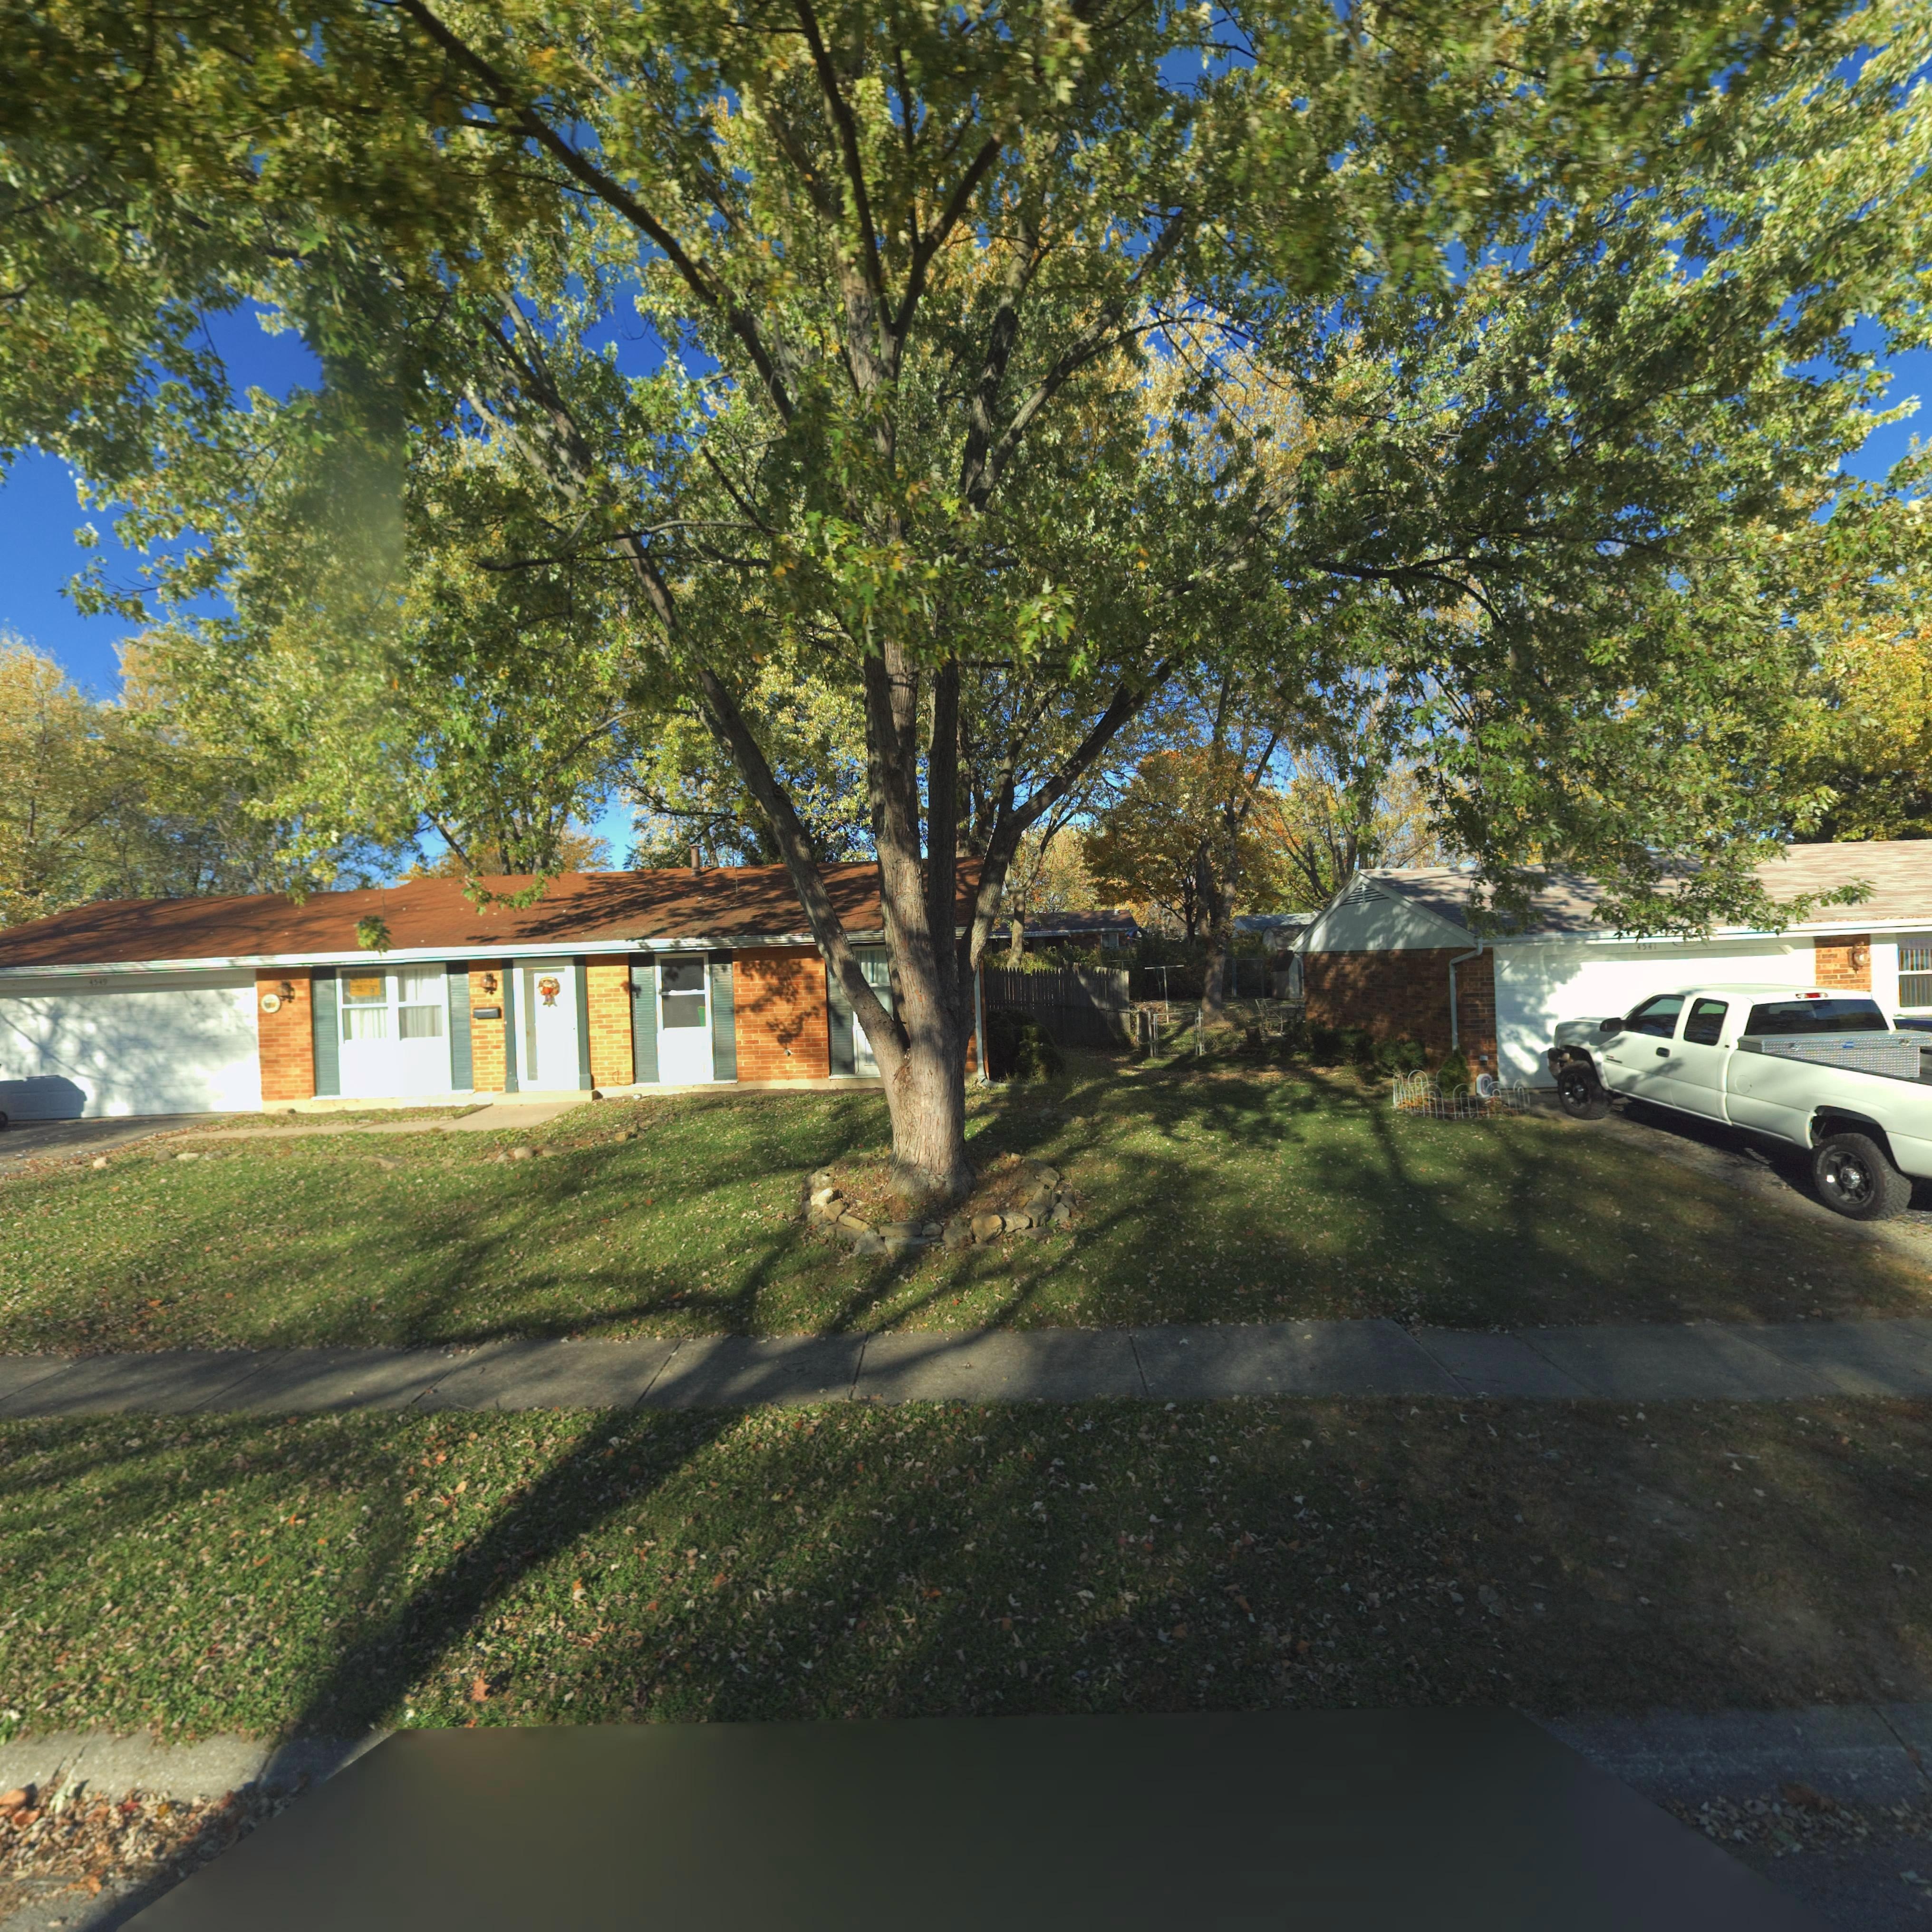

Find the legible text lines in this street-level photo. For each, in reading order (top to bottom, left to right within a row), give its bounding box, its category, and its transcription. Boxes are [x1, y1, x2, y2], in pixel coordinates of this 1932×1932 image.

[1635, 943, 1658, 951] StreetNumber: 4541
[87, 977, 109, 987] StreetNumber: 4549